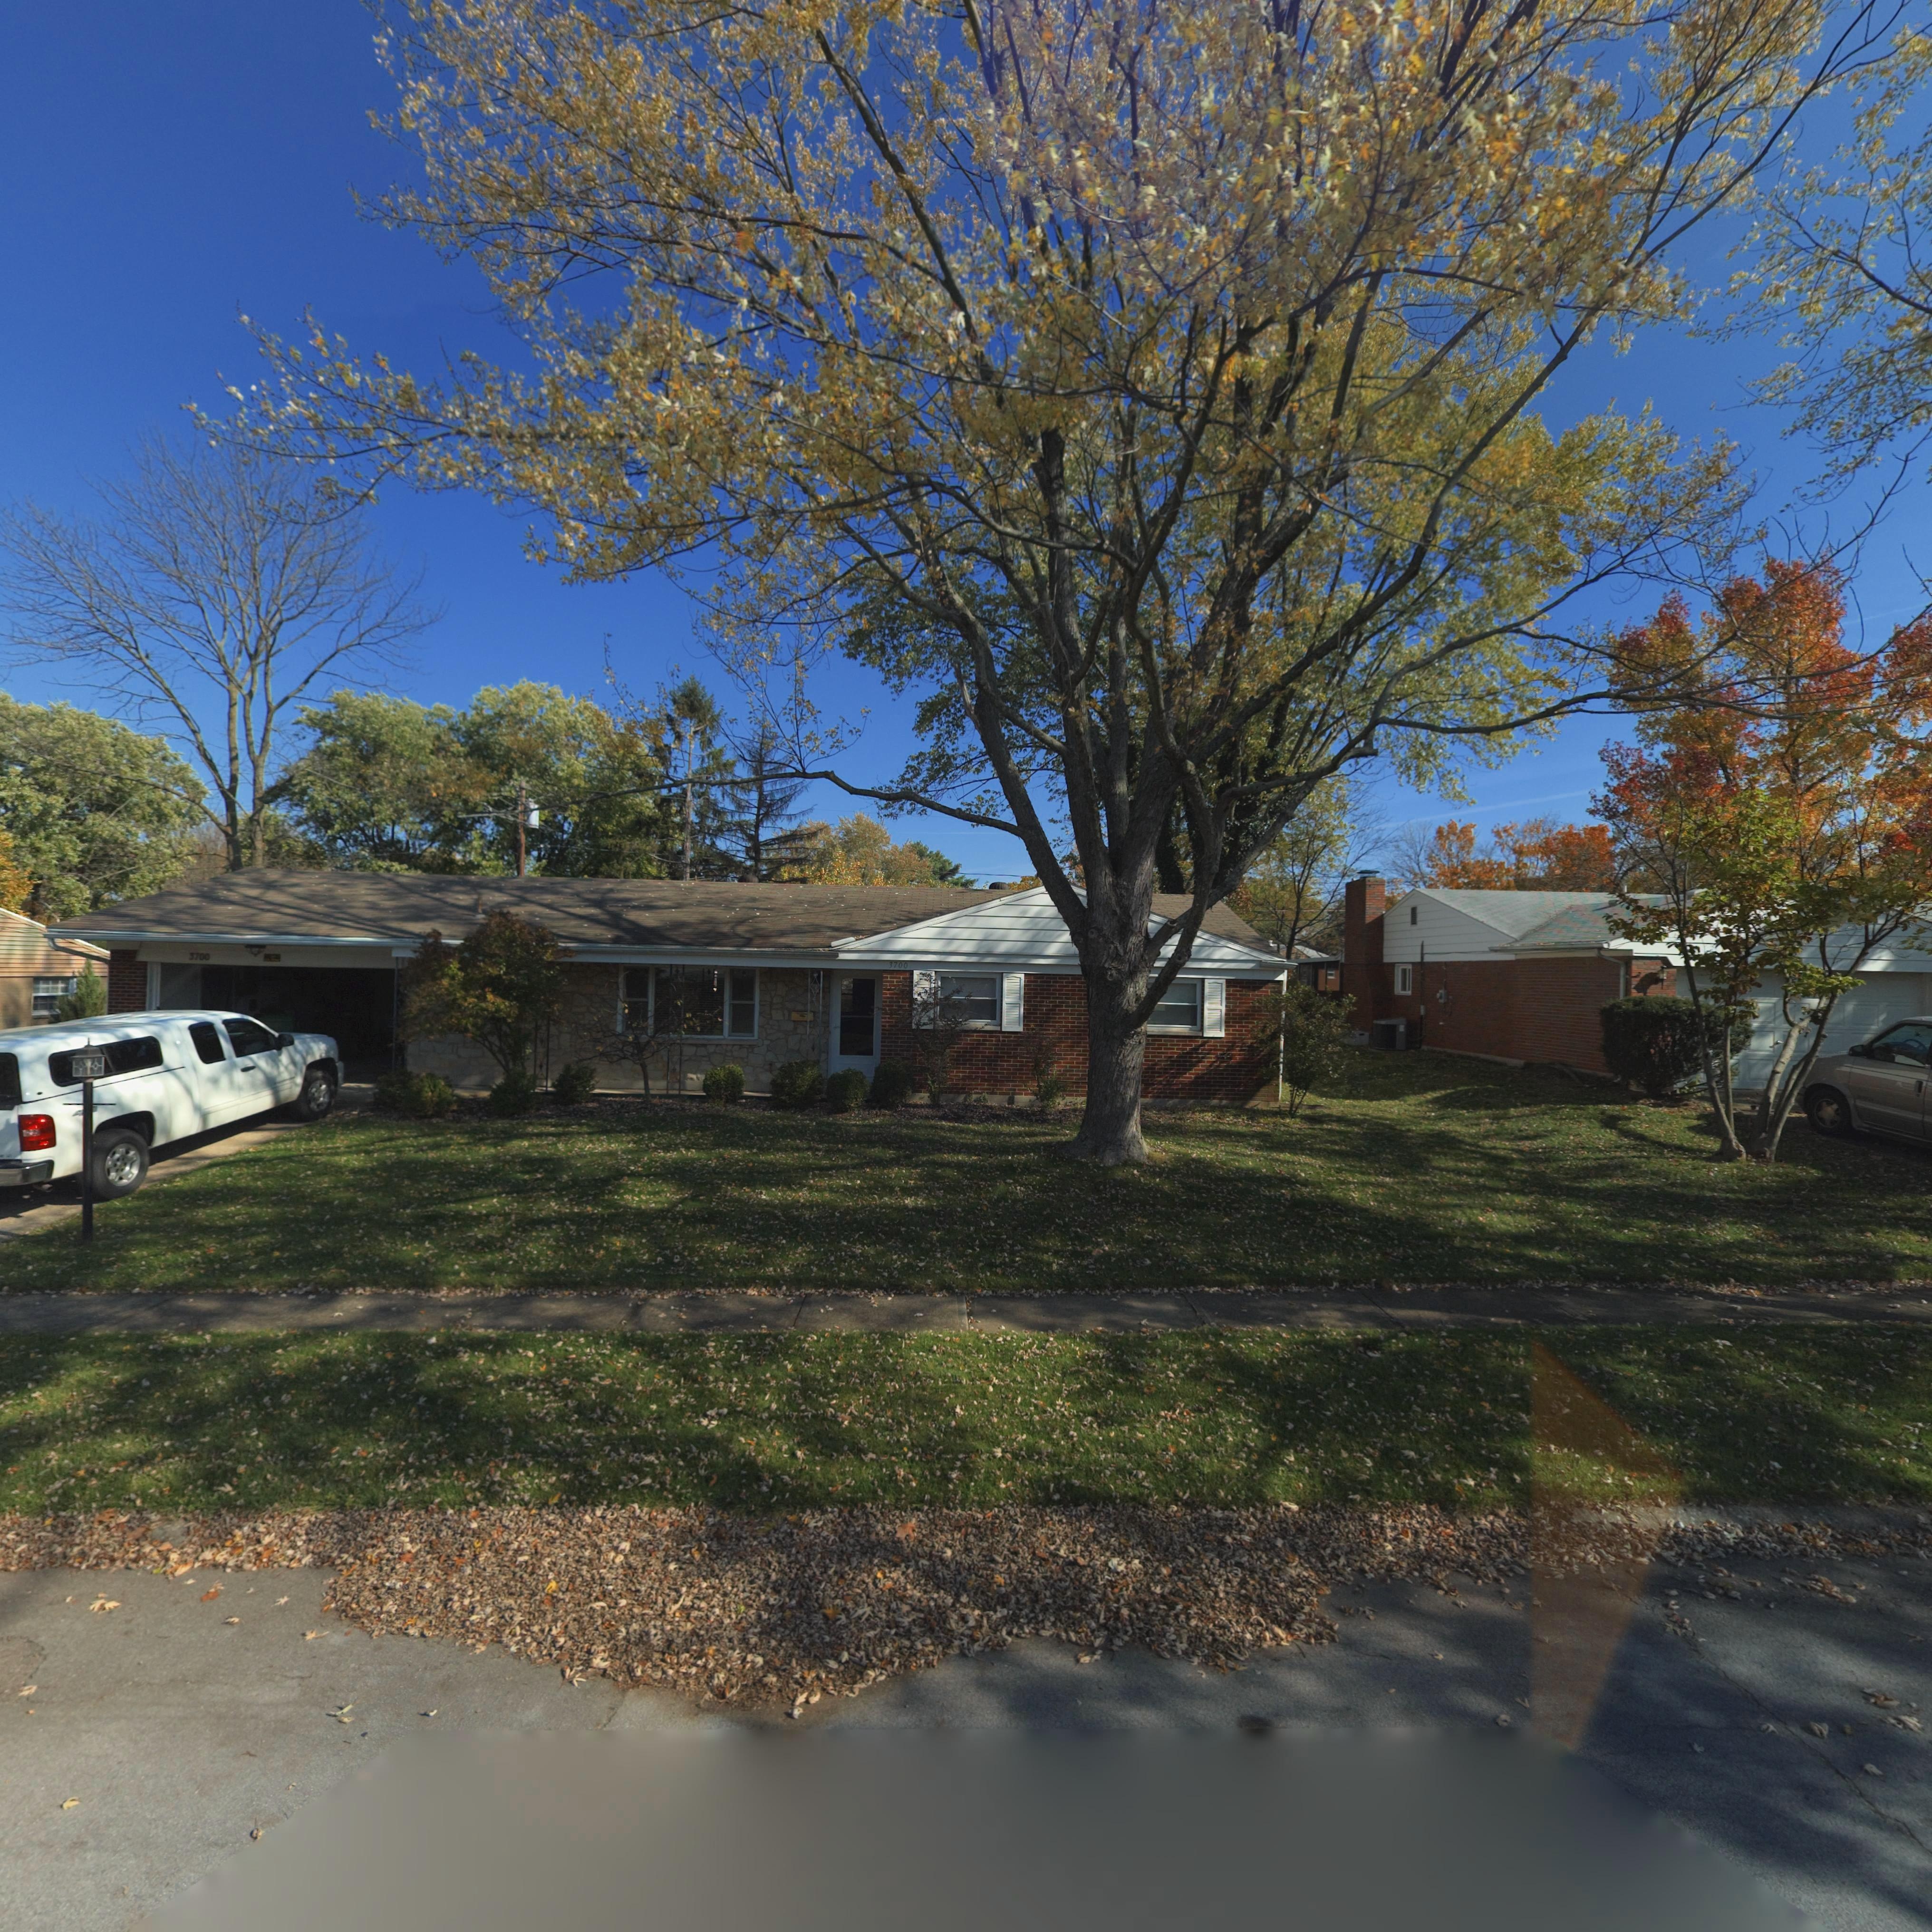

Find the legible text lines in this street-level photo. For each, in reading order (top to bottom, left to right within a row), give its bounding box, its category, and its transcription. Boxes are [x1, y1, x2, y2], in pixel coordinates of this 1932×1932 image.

[187, 951, 212, 962] StreetNumber: 3700
[886, 960, 910, 970] StreetNumber: 3700